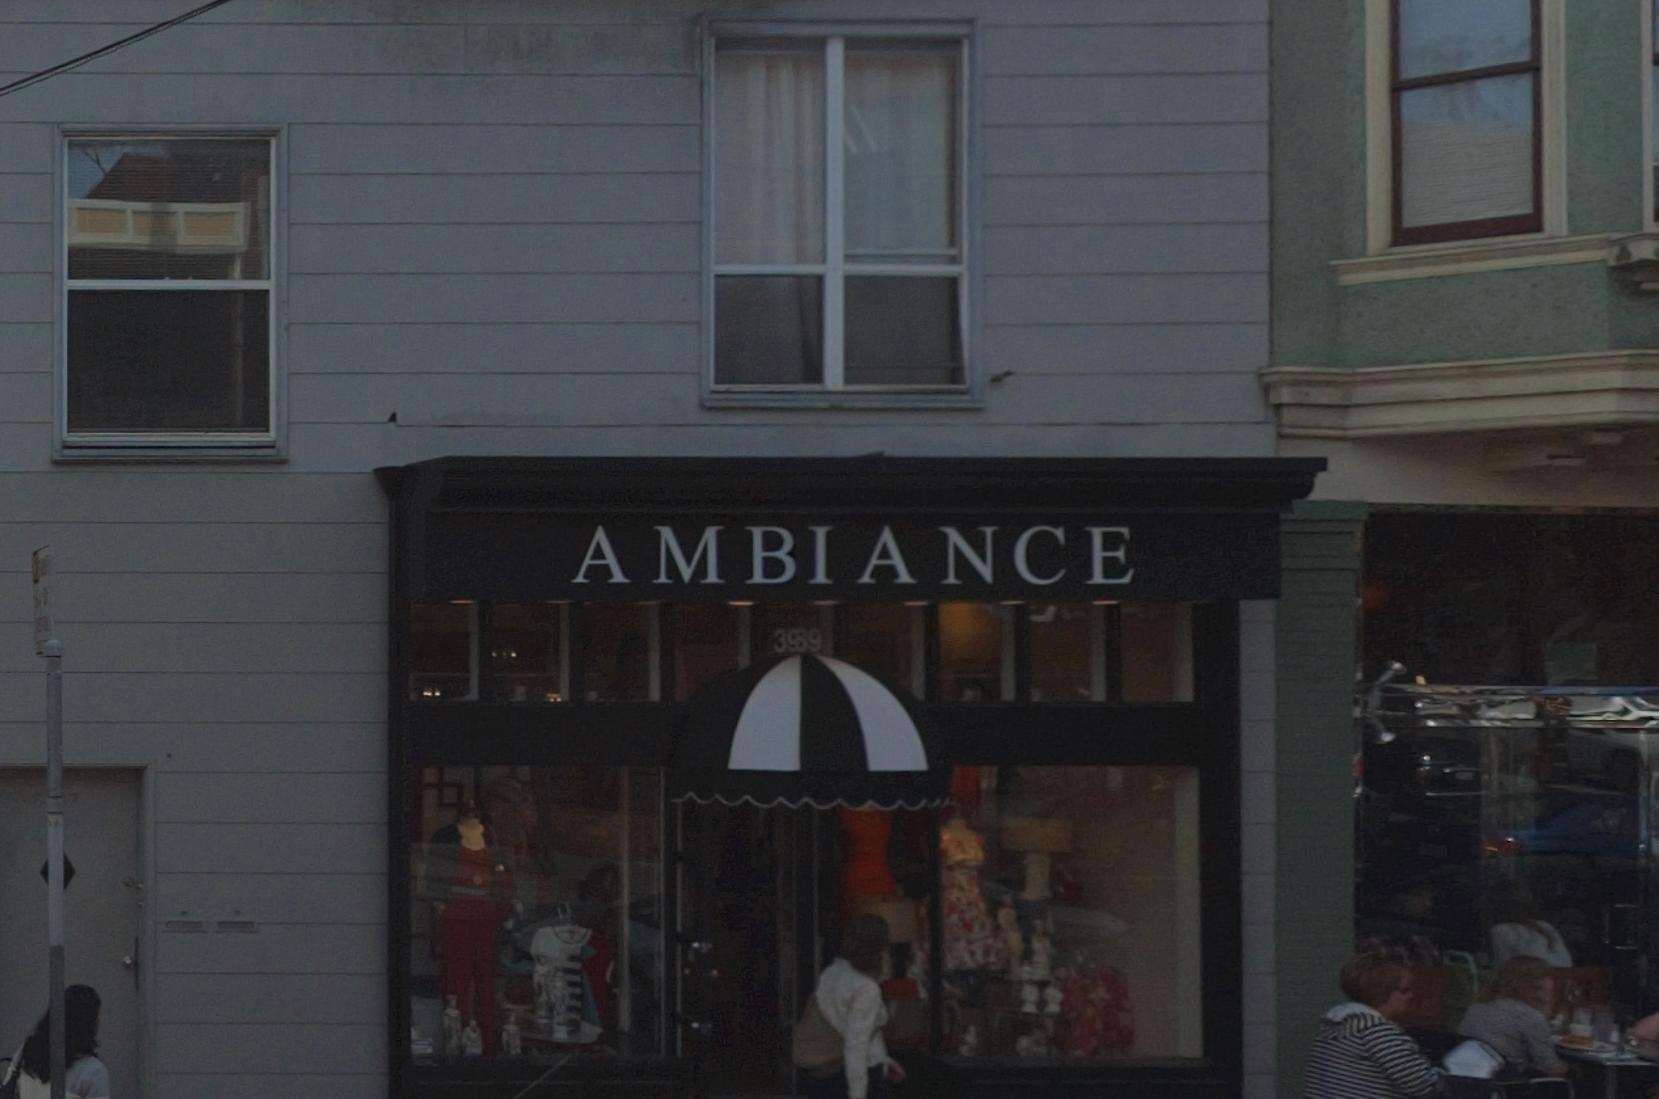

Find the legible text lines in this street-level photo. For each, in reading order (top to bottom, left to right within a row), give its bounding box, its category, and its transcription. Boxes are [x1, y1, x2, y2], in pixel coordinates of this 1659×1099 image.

[569, 523, 1136, 587] BusinessName: AMBIANCE
[773, 628, 823, 653] StreetNumber: 3*89